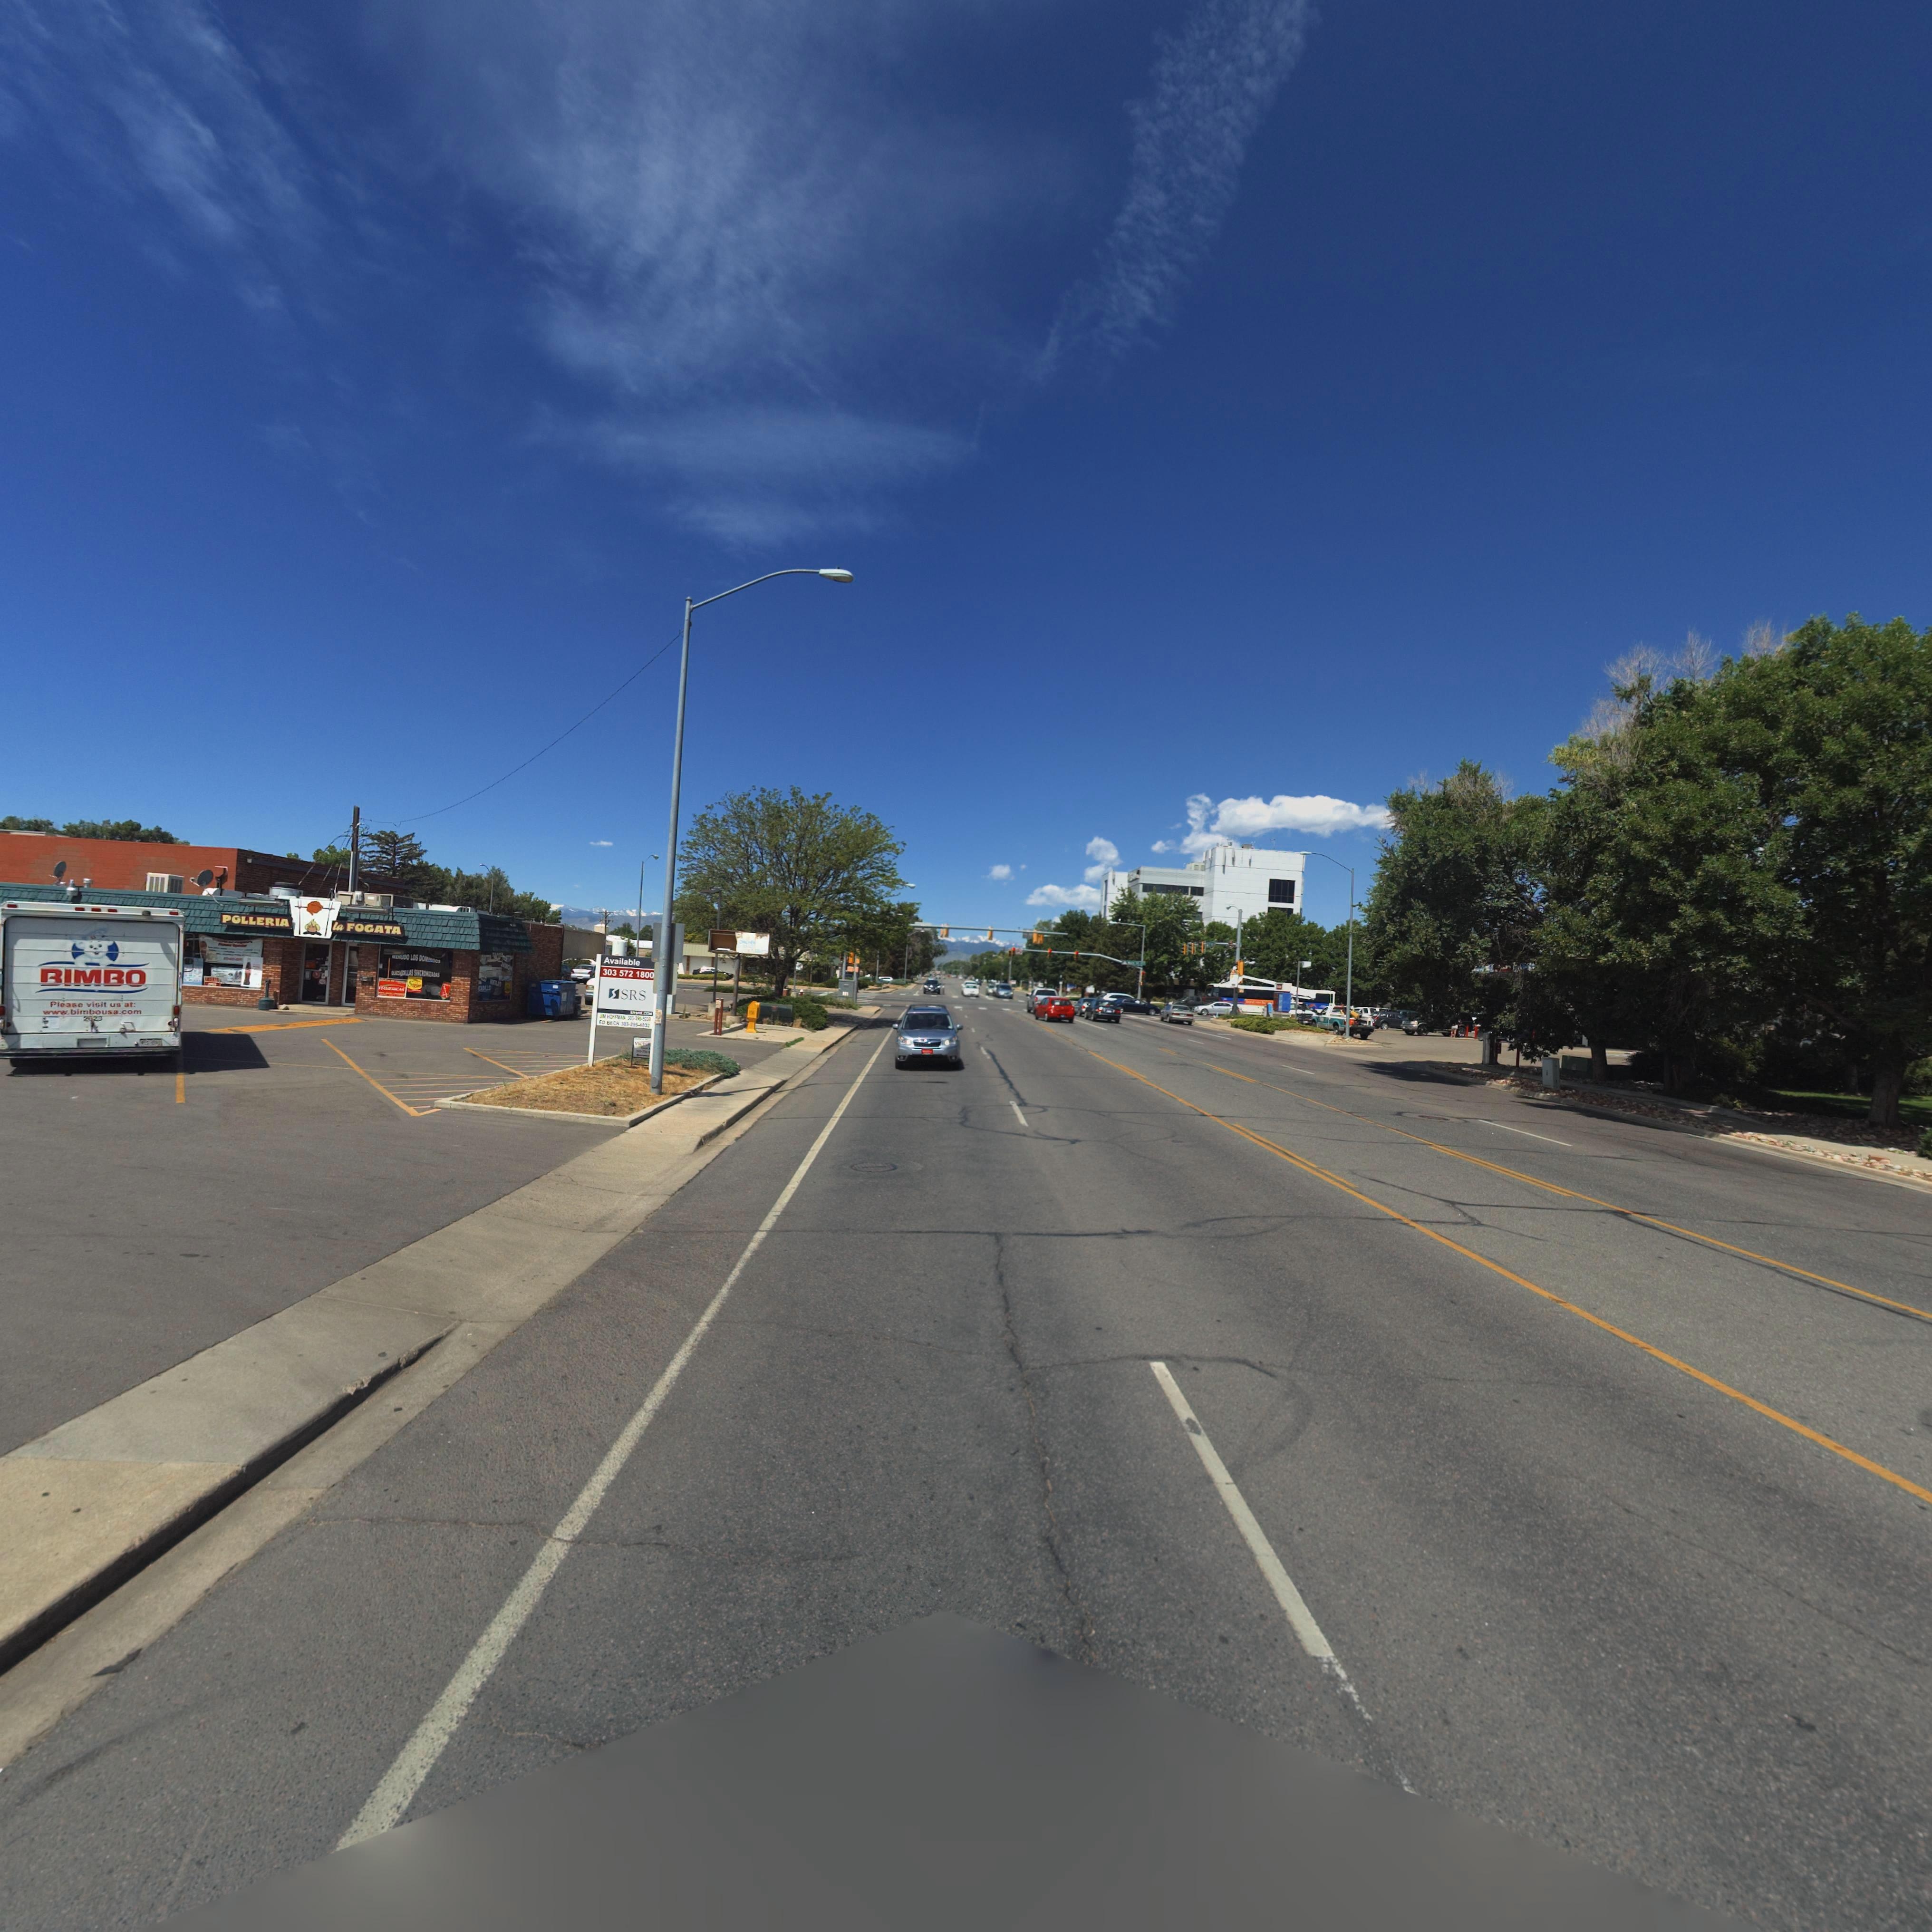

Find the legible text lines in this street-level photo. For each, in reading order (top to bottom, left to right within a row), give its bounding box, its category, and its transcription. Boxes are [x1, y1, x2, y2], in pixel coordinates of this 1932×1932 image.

[222, 914, 402, 935] BusinessName: POLLERIA la FOGATA
[634, 1042, 650, 1046] BusinessName: VICTO*